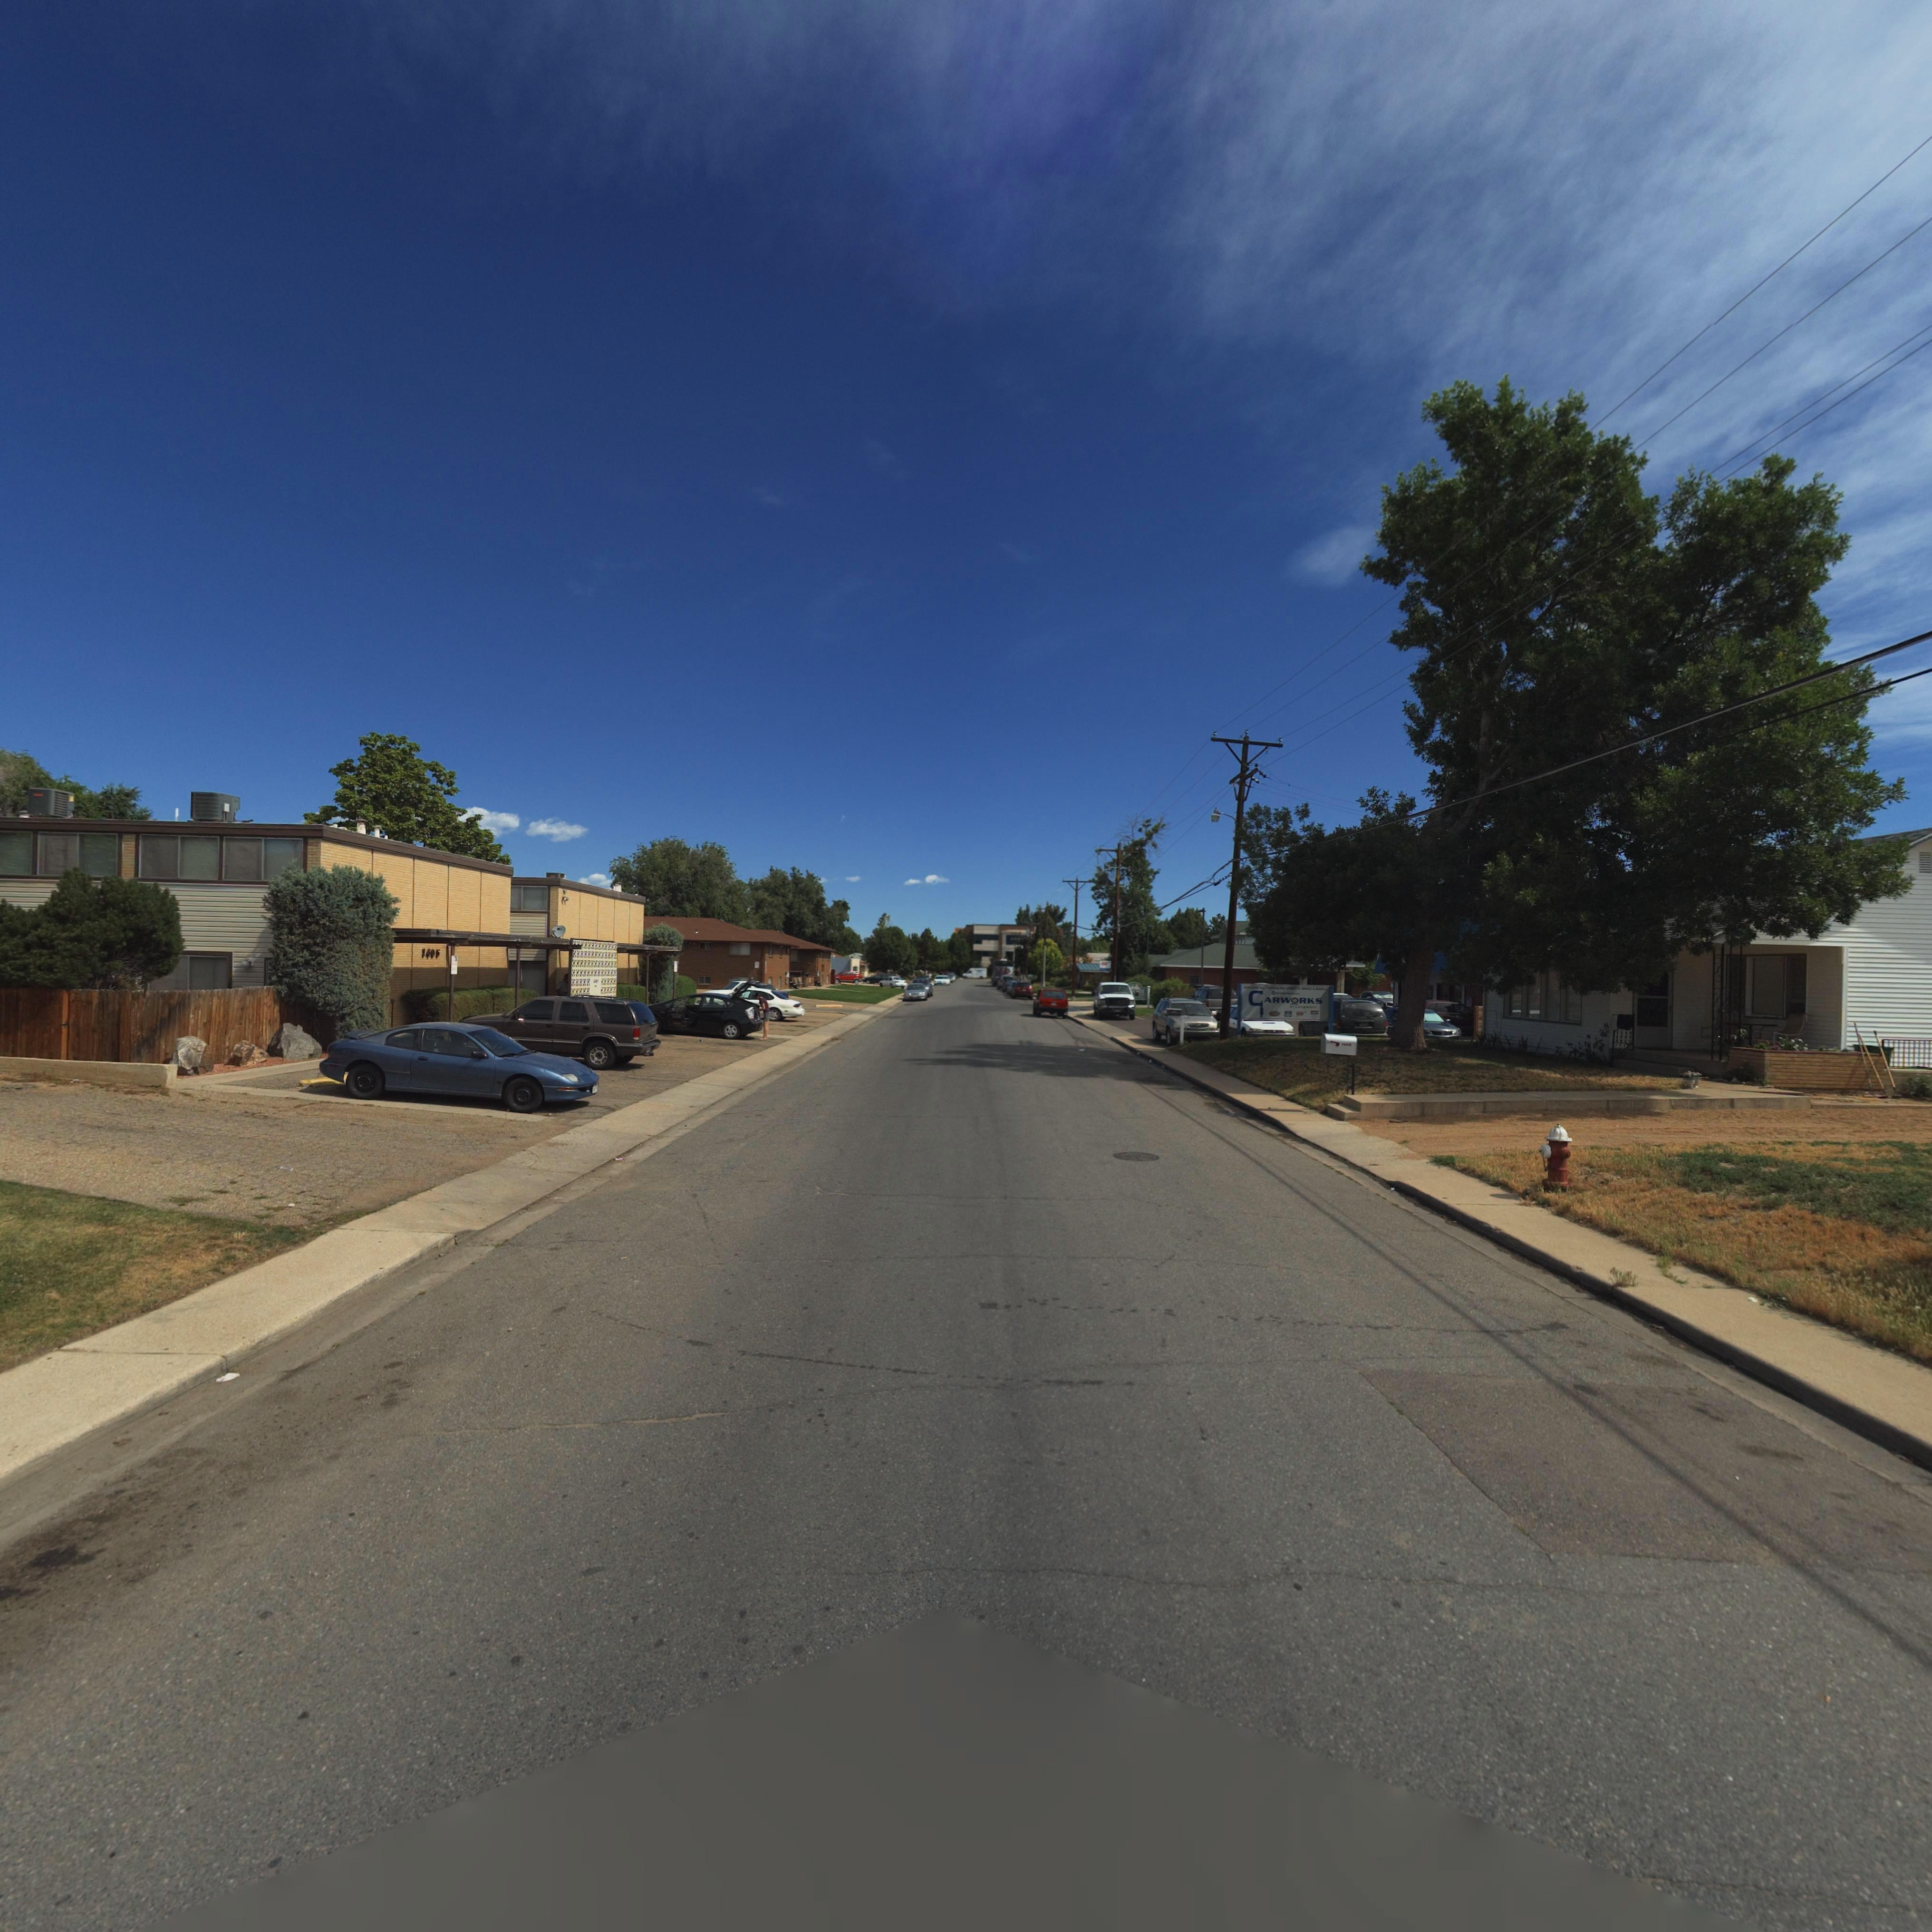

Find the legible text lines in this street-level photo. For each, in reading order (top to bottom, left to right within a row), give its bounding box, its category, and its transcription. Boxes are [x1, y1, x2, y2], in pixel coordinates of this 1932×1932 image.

[421, 947, 440, 956] StreetNumber: 14*5
[1247, 990, 1323, 1006] BusinessName: CARW*RKS
[1289, 1005, 1316, 1009] BusinessName: o* L*******
[1341, 1042, 1351, 1046] StreetNumber: 140*